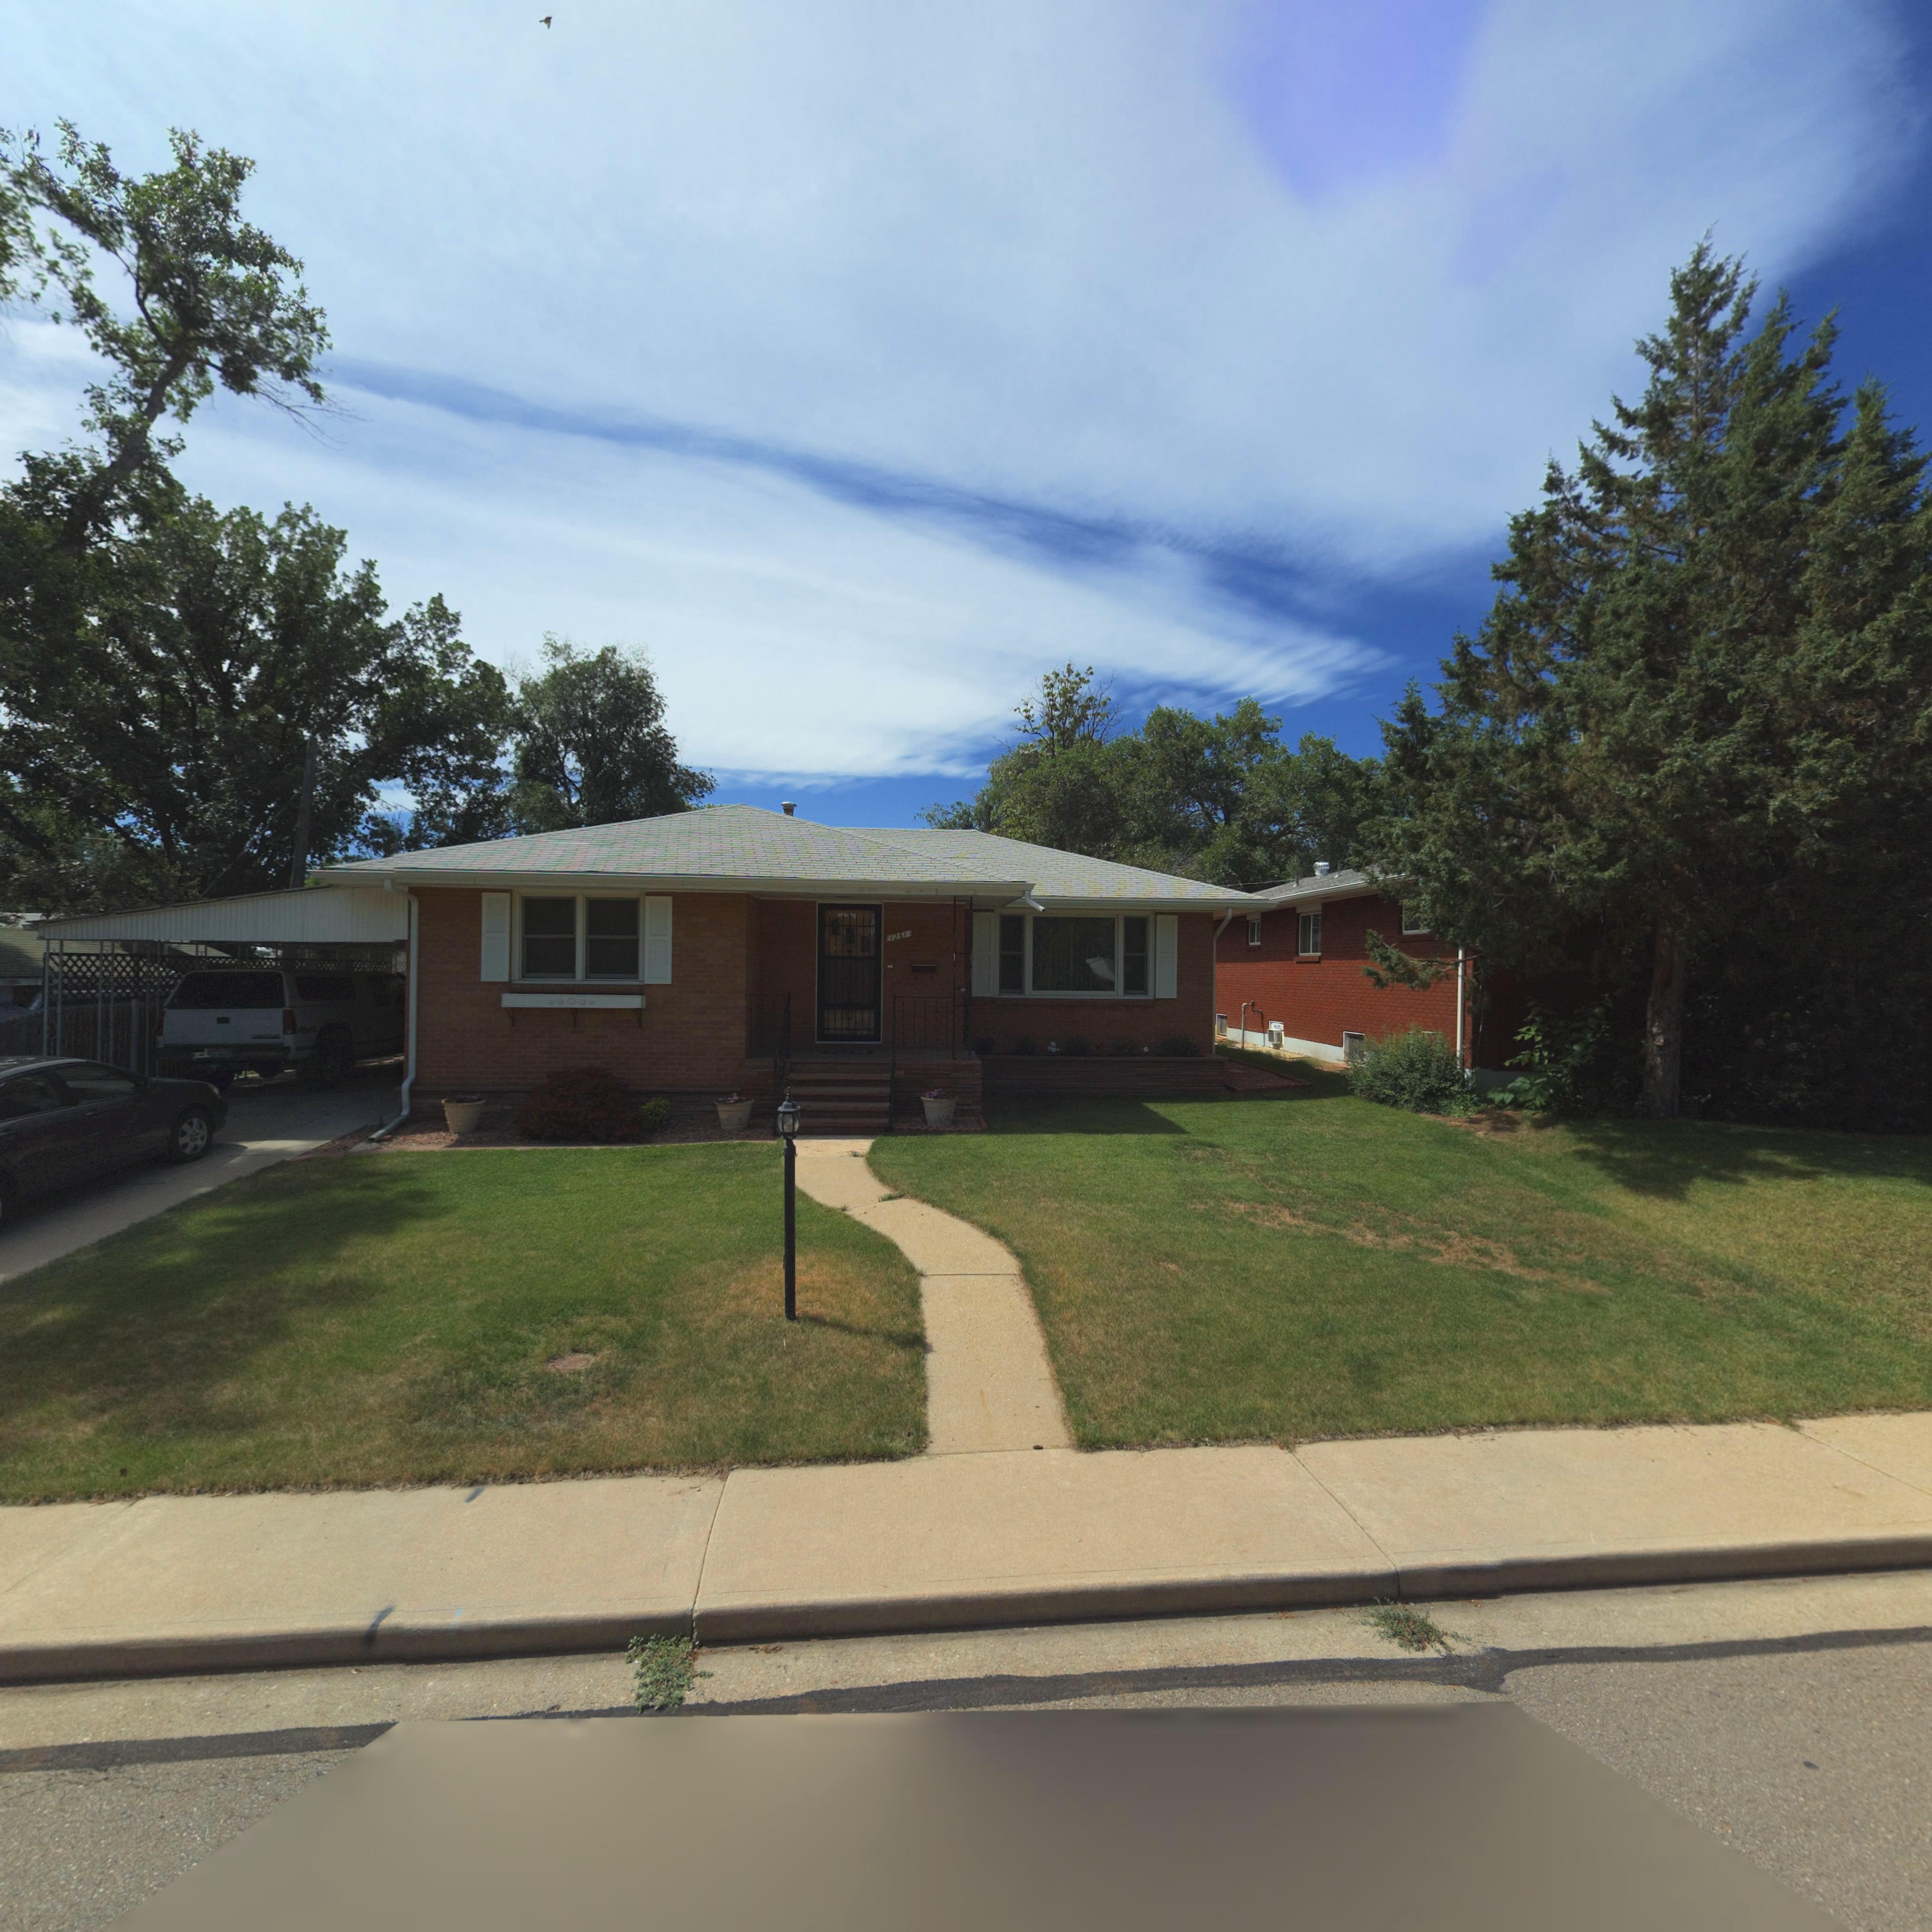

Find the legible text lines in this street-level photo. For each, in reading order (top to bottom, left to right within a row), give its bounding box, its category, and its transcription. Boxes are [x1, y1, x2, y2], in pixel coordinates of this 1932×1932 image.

[889, 931, 908, 942] StreetNumber: 1261